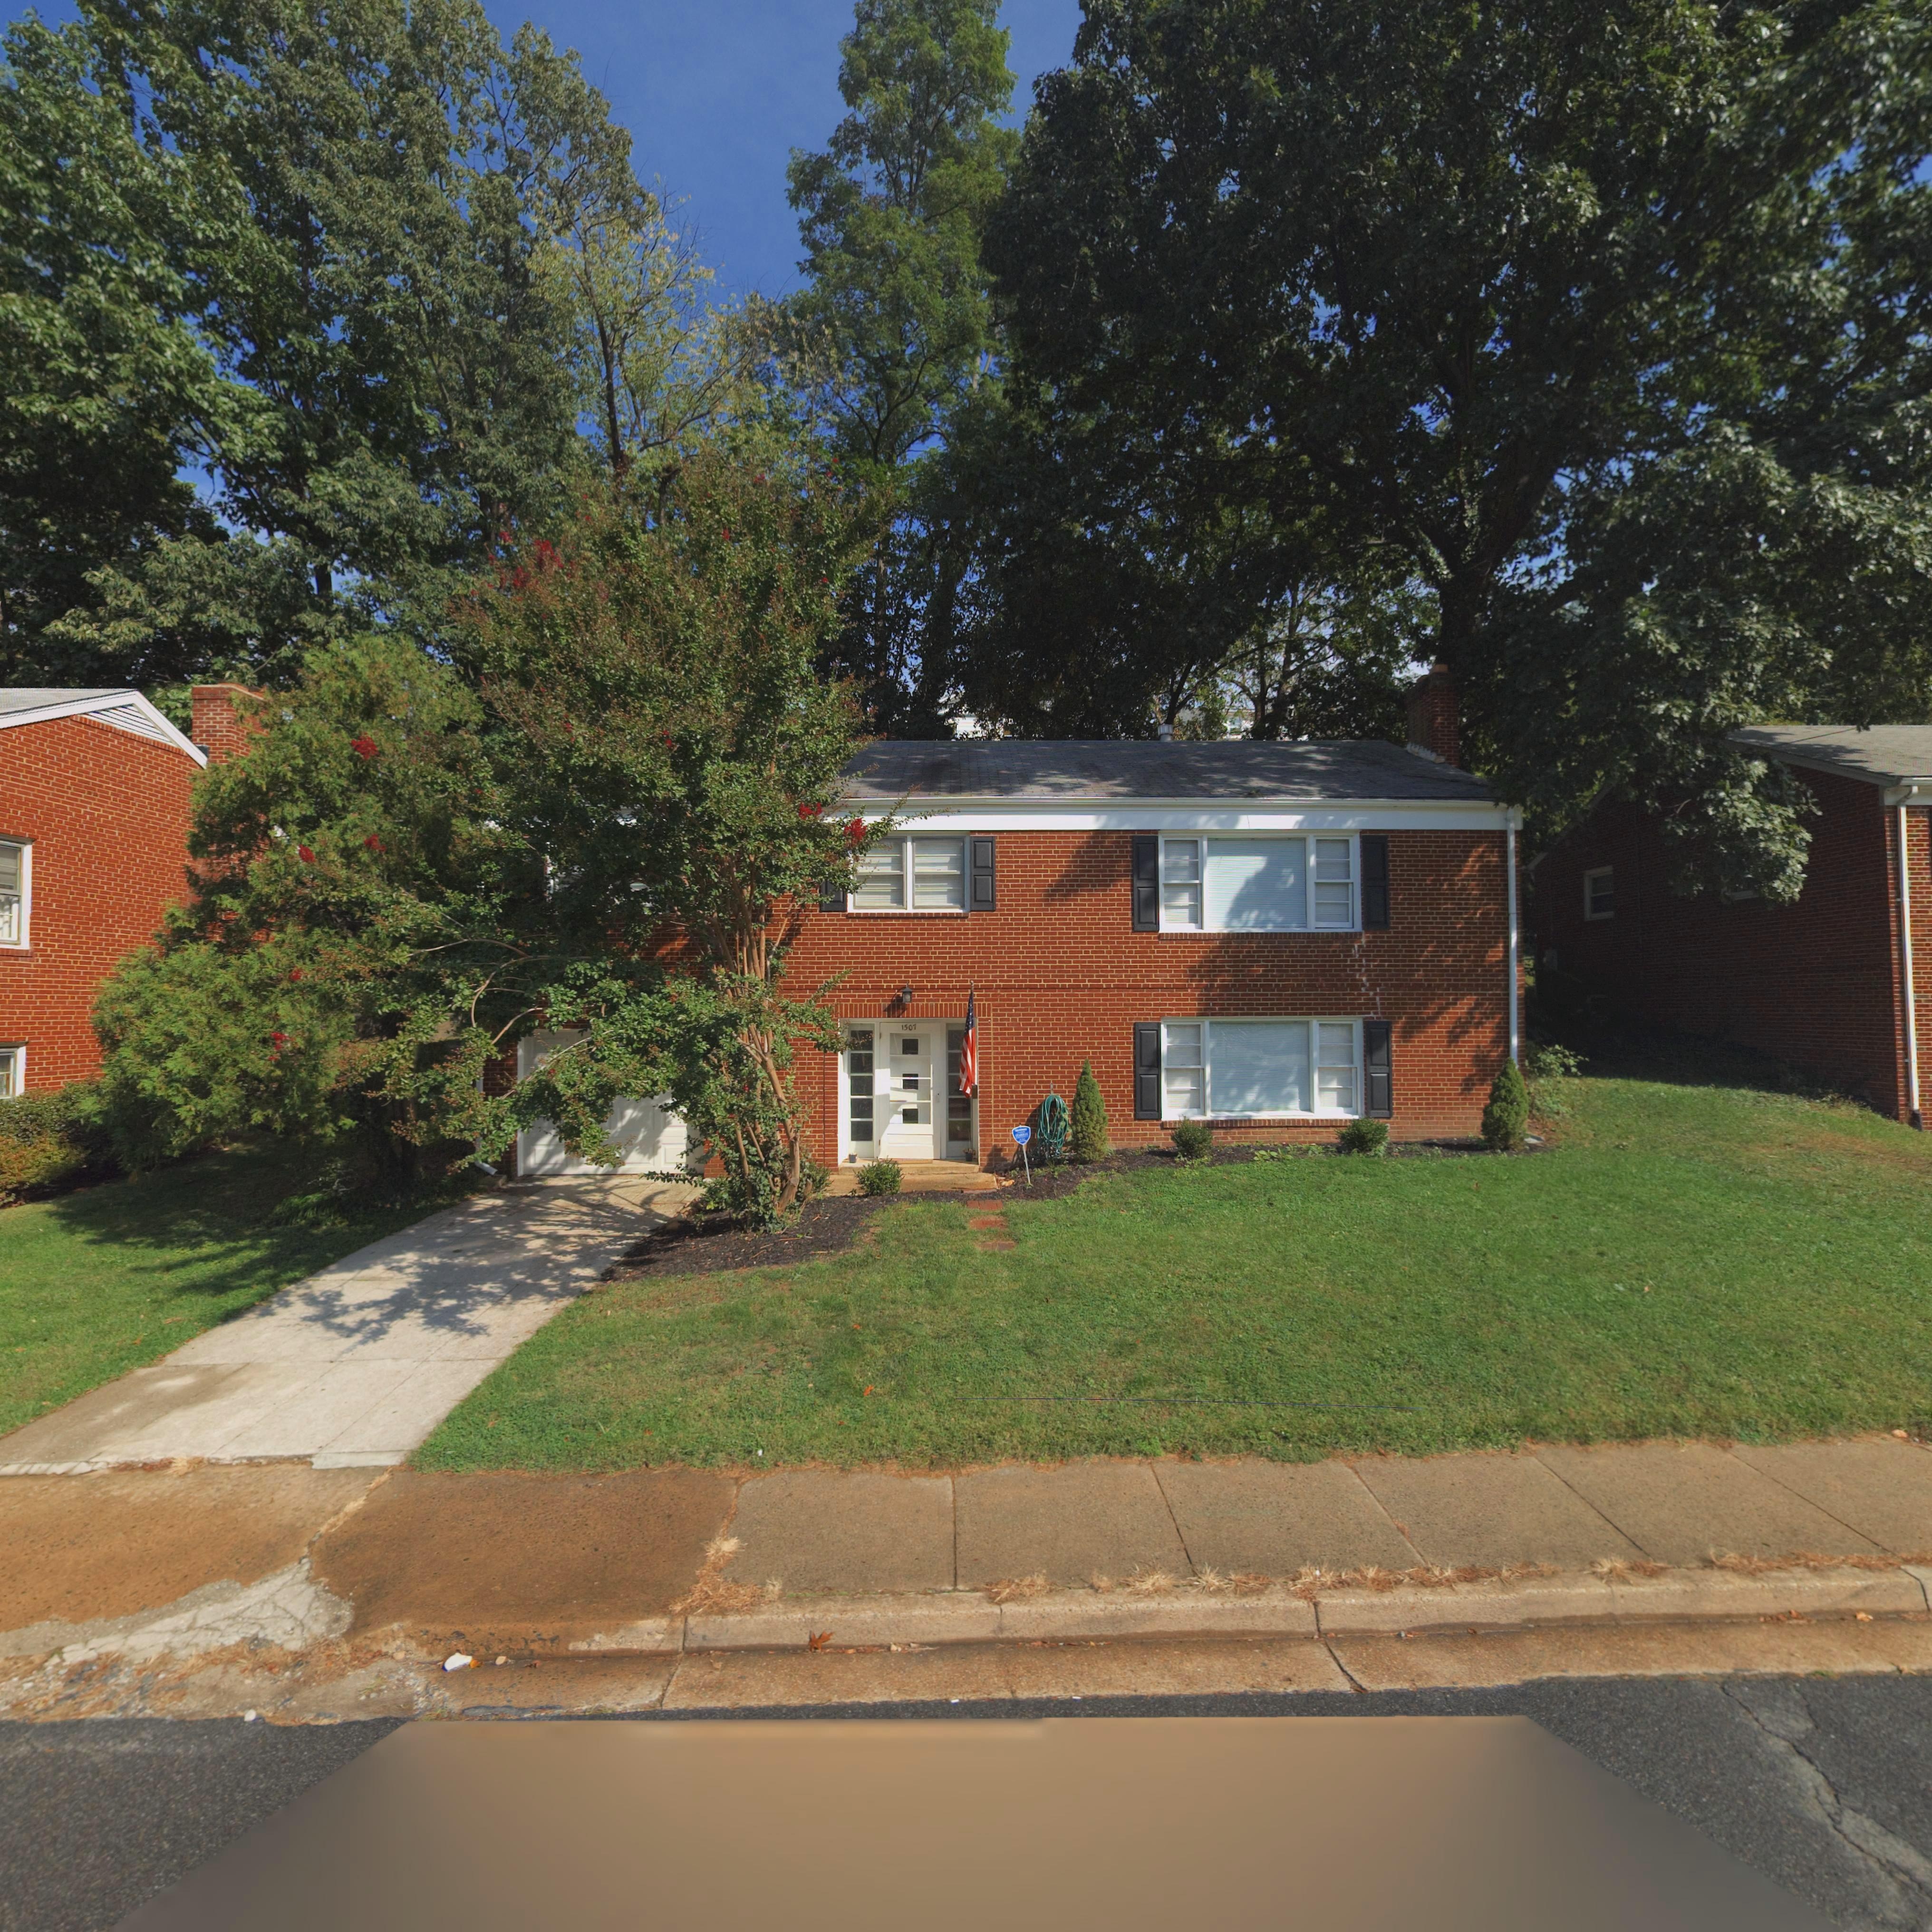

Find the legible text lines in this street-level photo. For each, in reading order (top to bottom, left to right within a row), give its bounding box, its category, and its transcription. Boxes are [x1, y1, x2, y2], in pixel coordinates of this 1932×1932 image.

[900, 1023, 918, 1032] StreetNumber: 1507